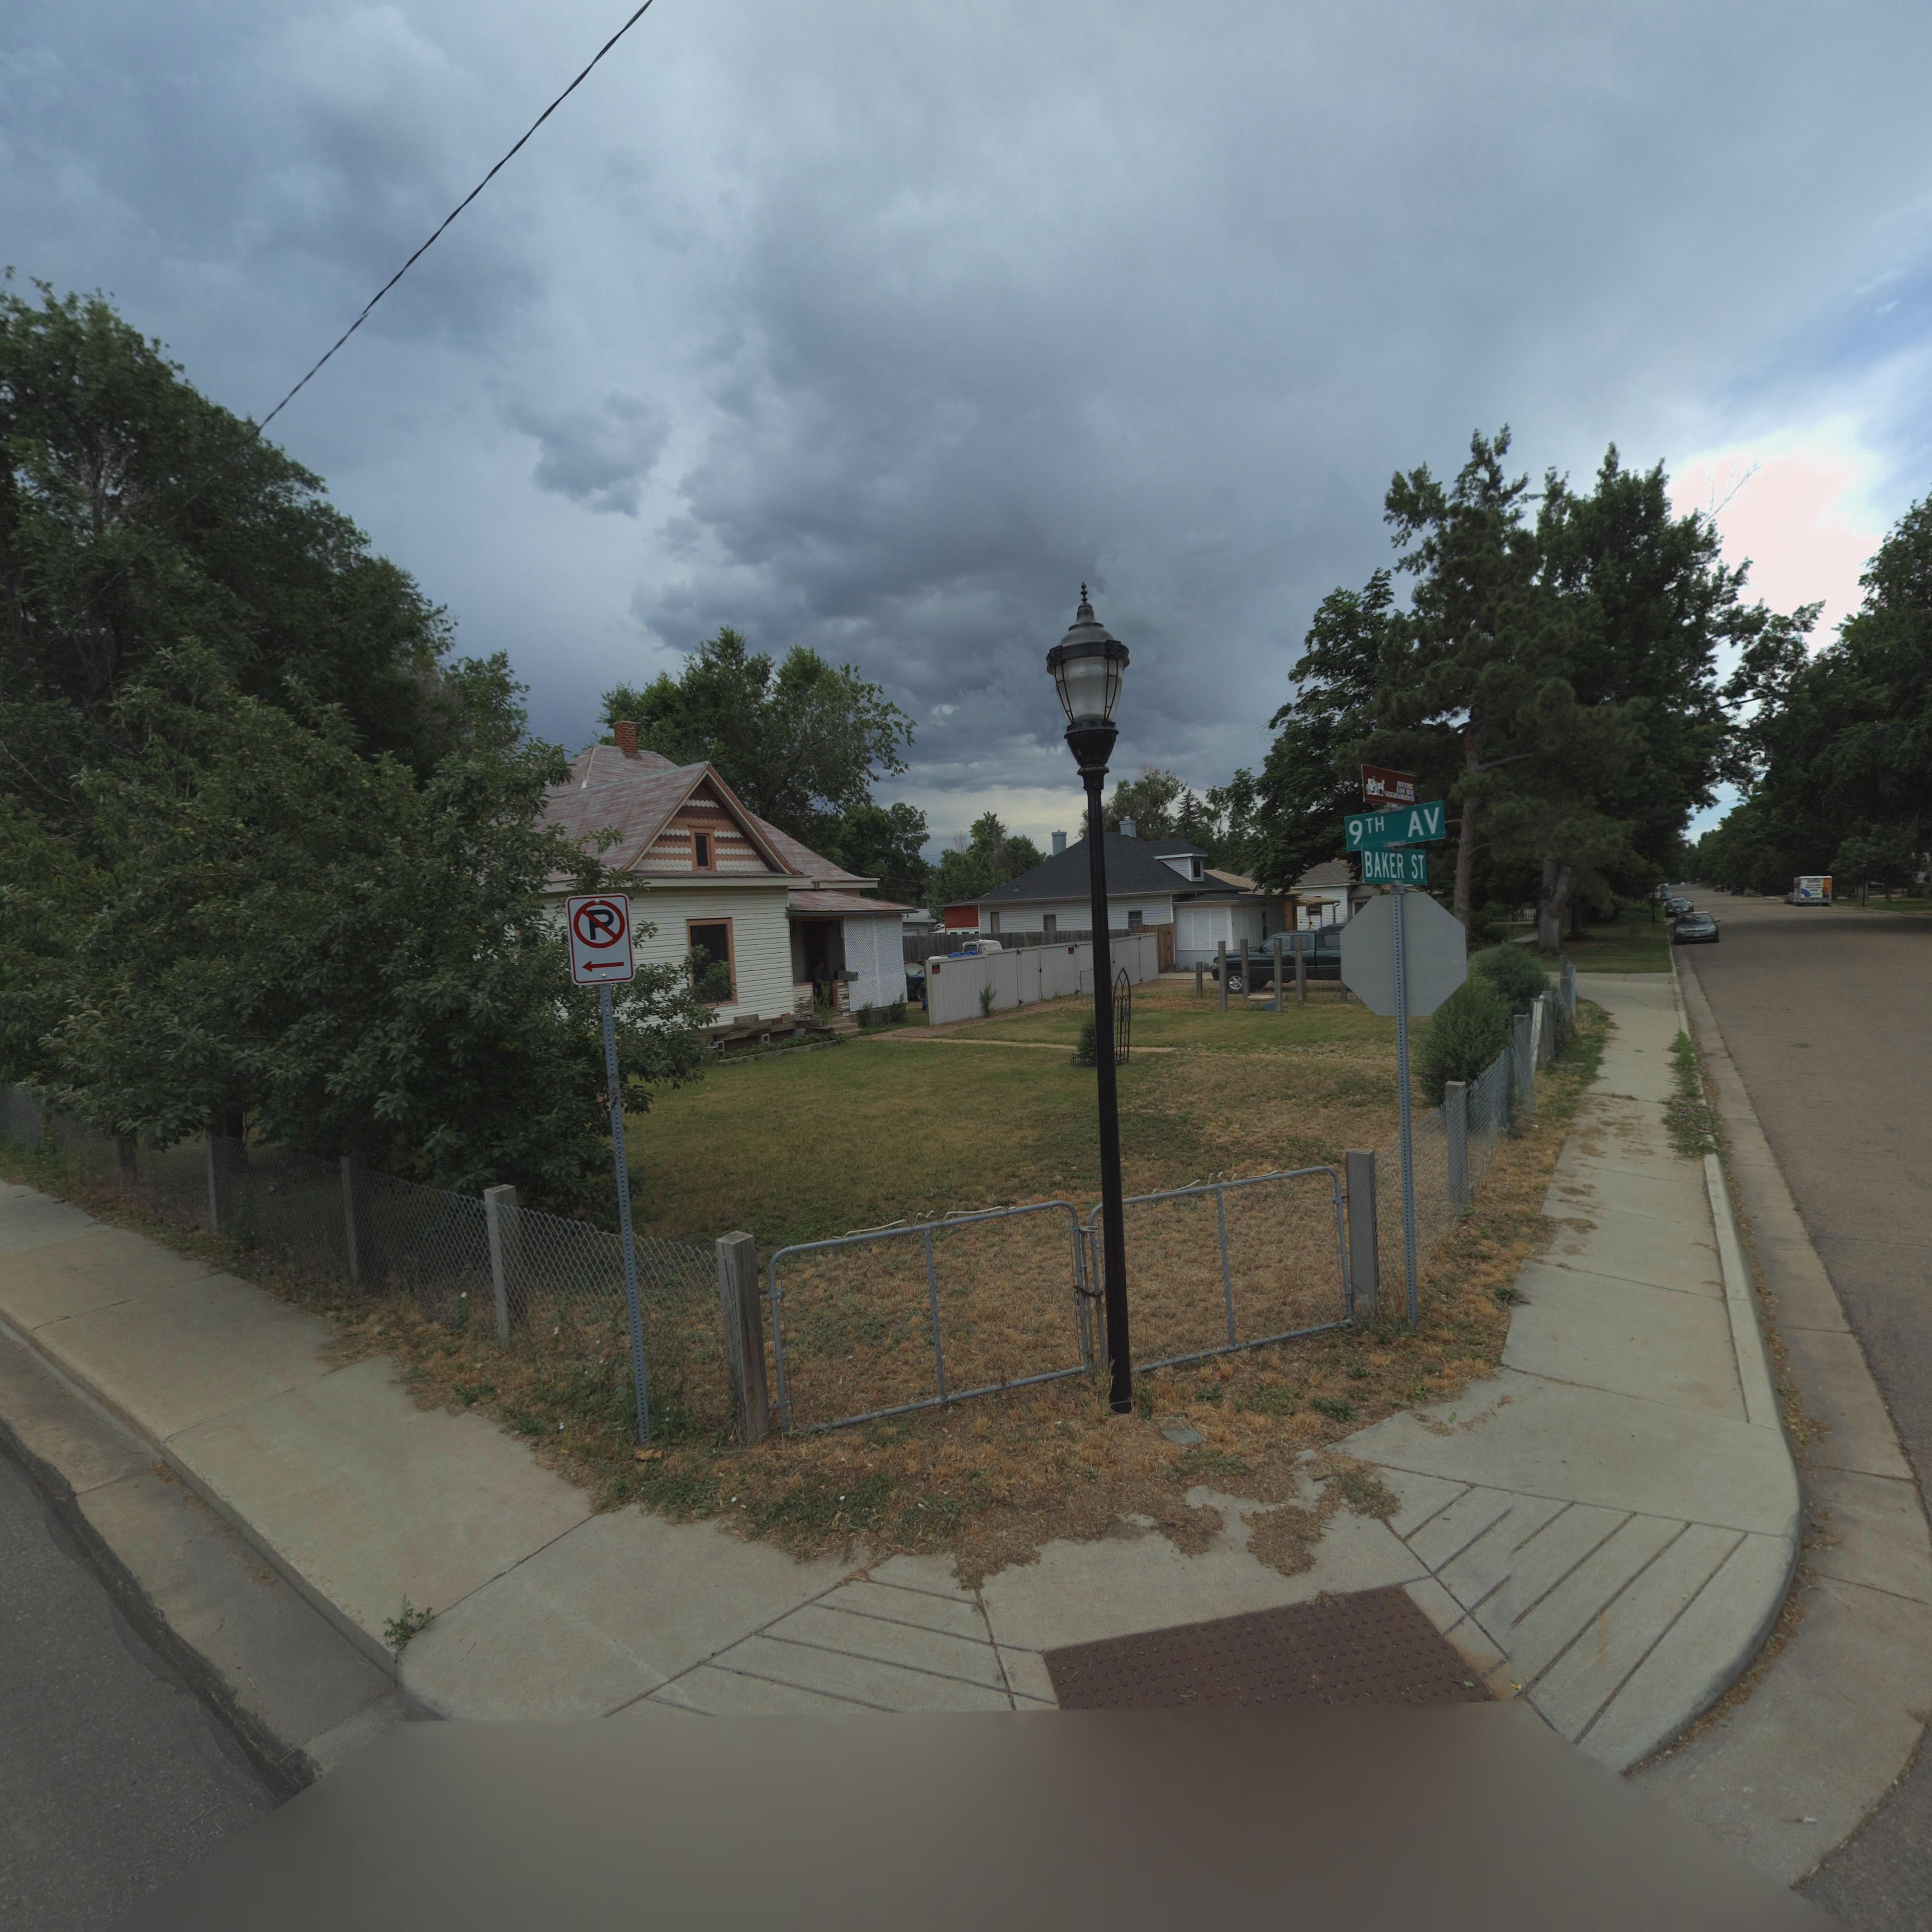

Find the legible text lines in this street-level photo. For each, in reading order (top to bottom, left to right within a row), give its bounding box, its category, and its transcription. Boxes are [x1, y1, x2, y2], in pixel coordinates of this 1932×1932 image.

[1348, 805, 1440, 846] StreetName: 9TH AV
[1364, 850, 1424, 879] StreetName: BAKER ST